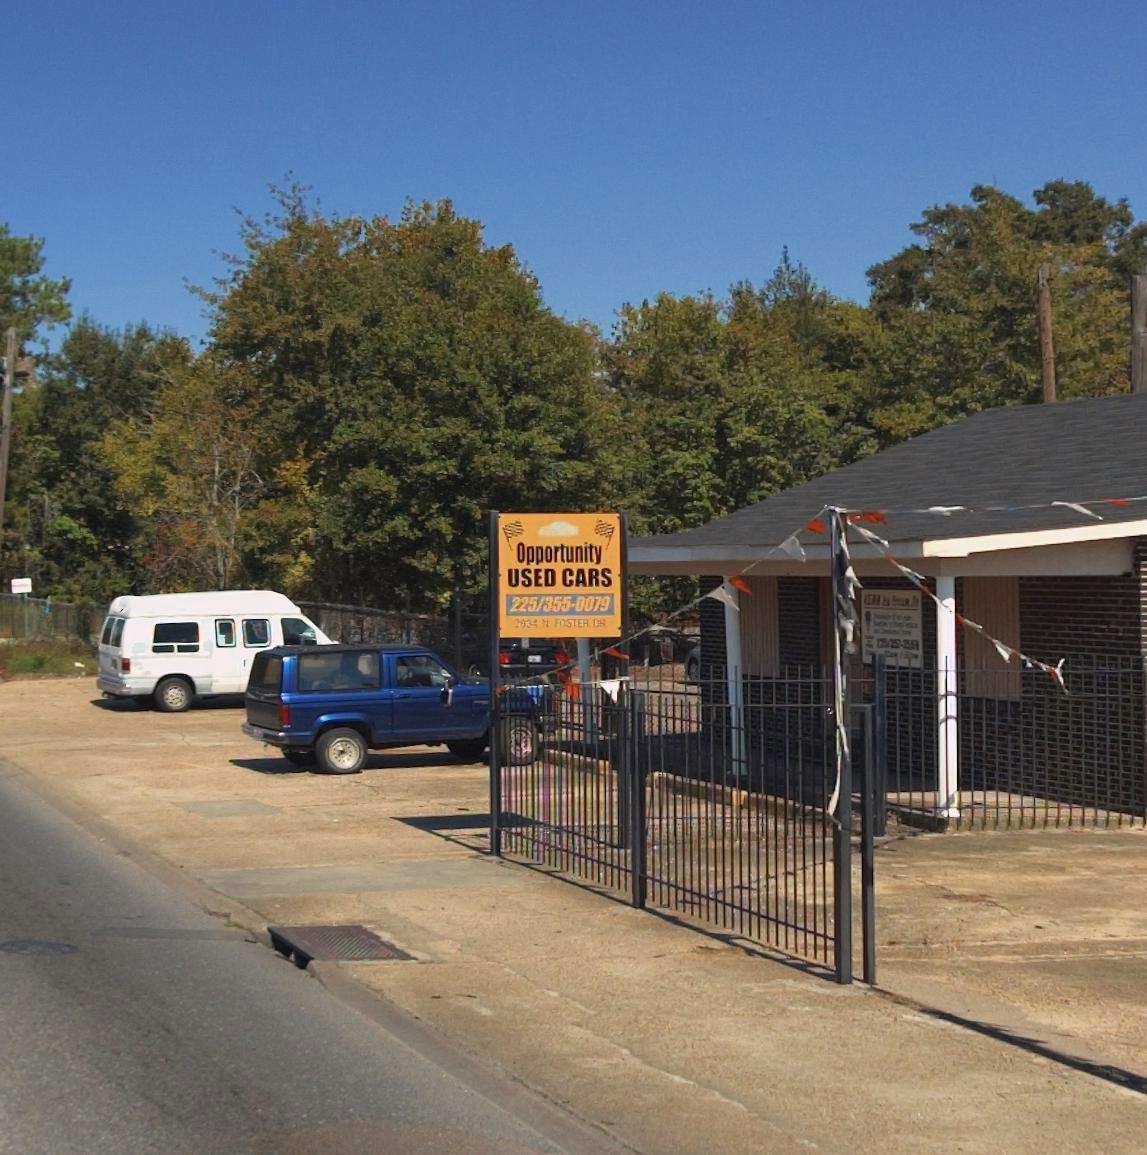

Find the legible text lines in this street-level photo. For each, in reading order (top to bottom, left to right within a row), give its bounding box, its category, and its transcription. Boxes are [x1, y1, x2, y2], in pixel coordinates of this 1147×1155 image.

[514, 540, 604, 567] BusinessName: Opportunity
[505, 566, 615, 589] BusinessName: USED CARS
[507, 594, 614, 614] None: 225/355-0079
[512, 617, 540, 630] StreetNumber: 2*34
[539, 617, 610, 630] StreetName: N. FOSTER DR
[887, 636, 902, 650] None: 257